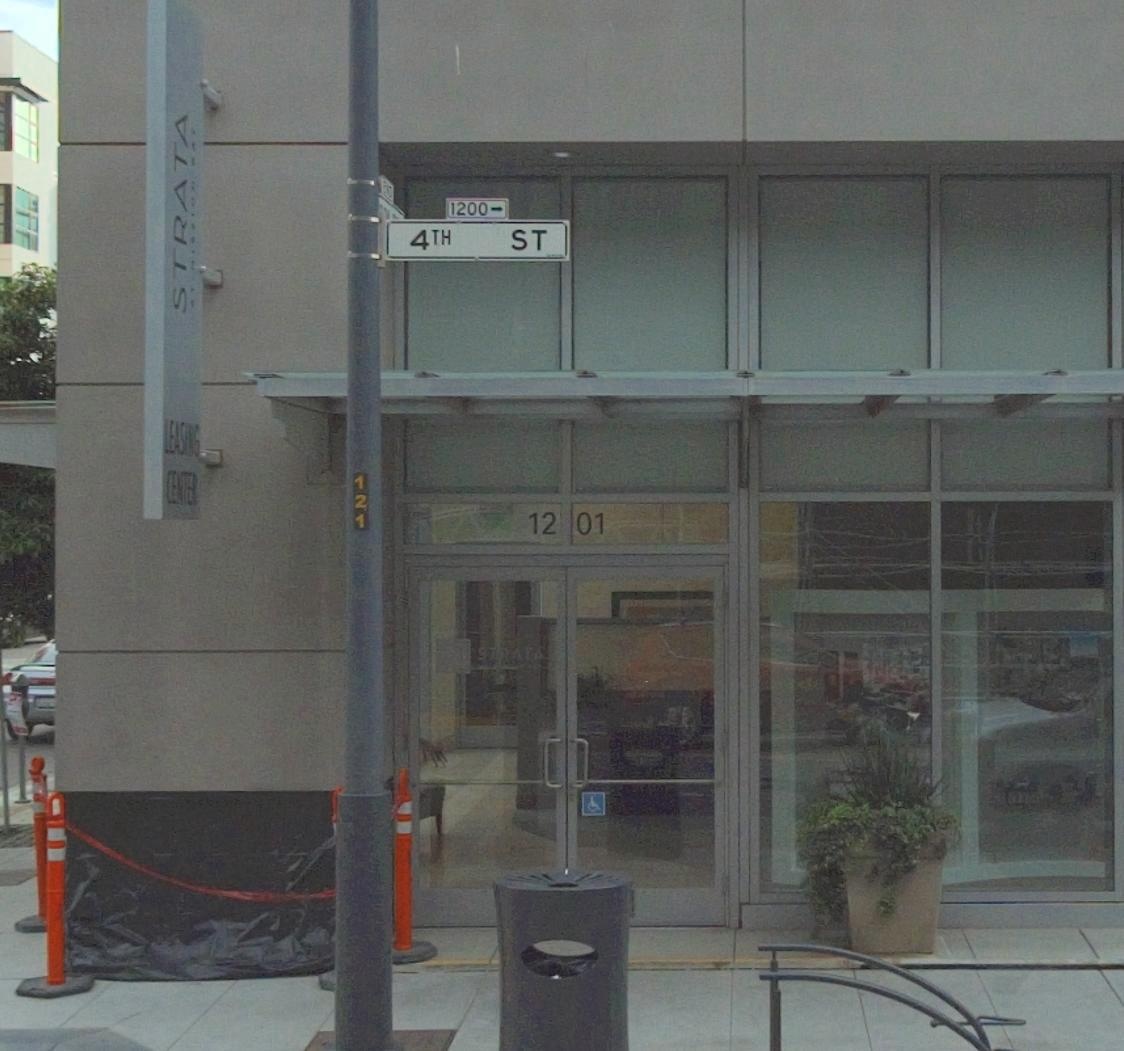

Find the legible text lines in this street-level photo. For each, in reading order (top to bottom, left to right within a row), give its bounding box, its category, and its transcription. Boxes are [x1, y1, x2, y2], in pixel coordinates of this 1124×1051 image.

[169, 108, 192, 316] BusinessName: STRATA
[448, 199, 507, 219] StreetNumberRange: 1200->
[407, 226, 551, 254] StreetName: 4TH ST
[351, 471, 369, 532] None: 121
[525, 509, 607, 538] StreetNumber: 12*01